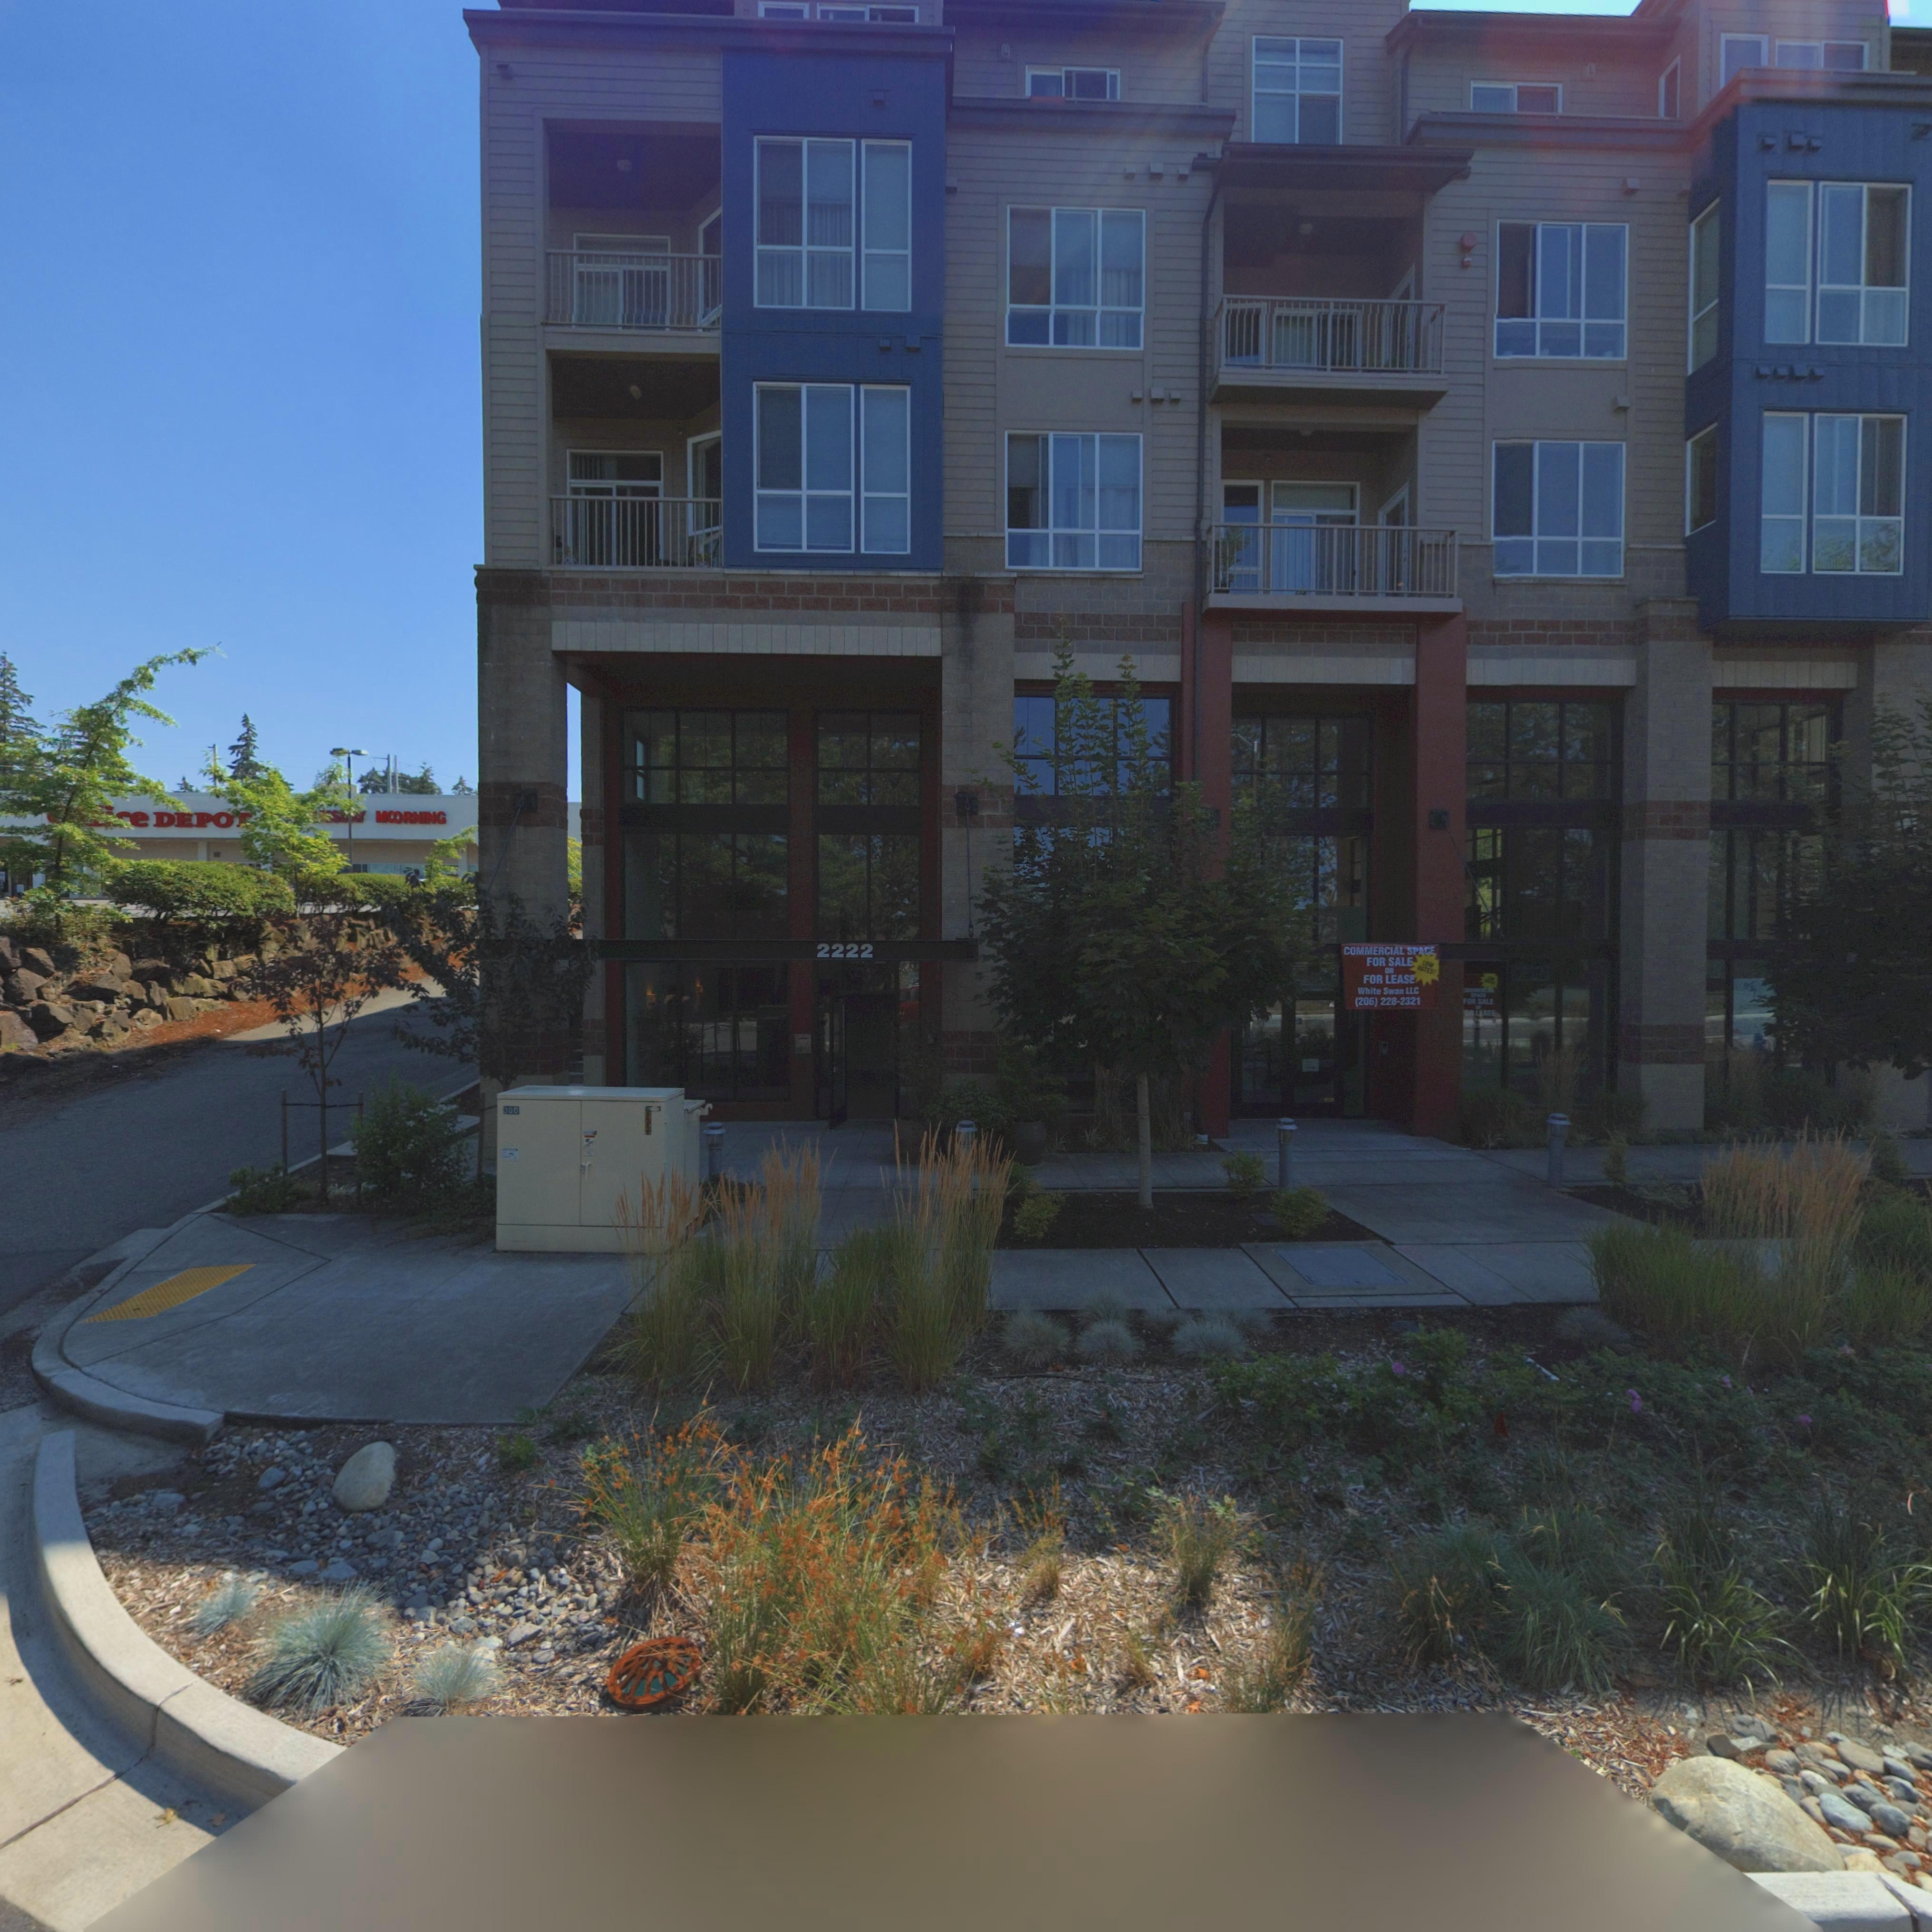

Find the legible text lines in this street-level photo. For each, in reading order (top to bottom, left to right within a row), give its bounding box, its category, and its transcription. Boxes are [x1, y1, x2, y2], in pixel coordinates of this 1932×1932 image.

[46, 803, 253, 828] BusinessName: ***ice DEPOT
[817, 943, 873, 958] StreetNumber: 2222